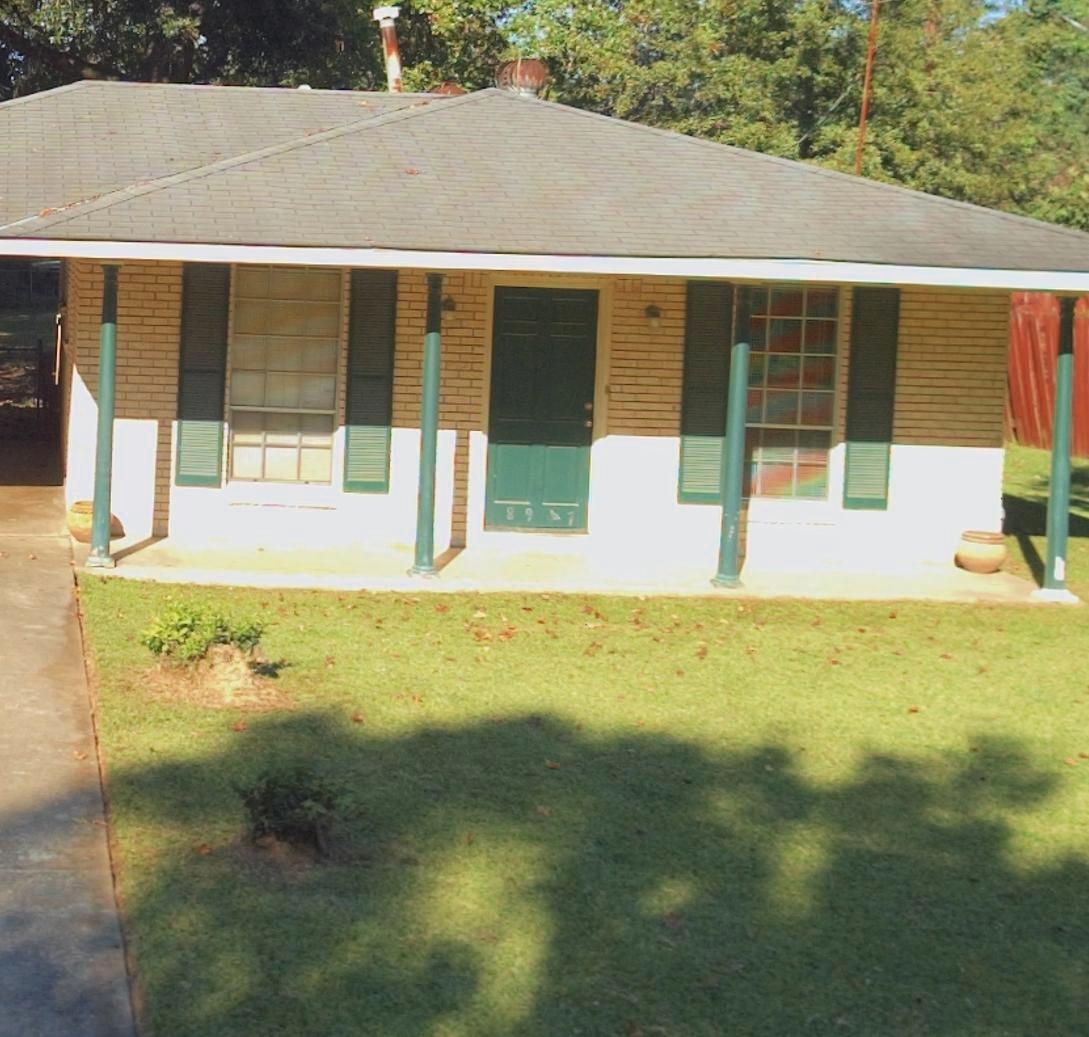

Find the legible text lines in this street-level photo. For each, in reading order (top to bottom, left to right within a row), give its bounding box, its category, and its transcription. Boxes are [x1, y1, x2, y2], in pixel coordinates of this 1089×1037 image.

[504, 505, 577, 527] StreetNumber: 8947